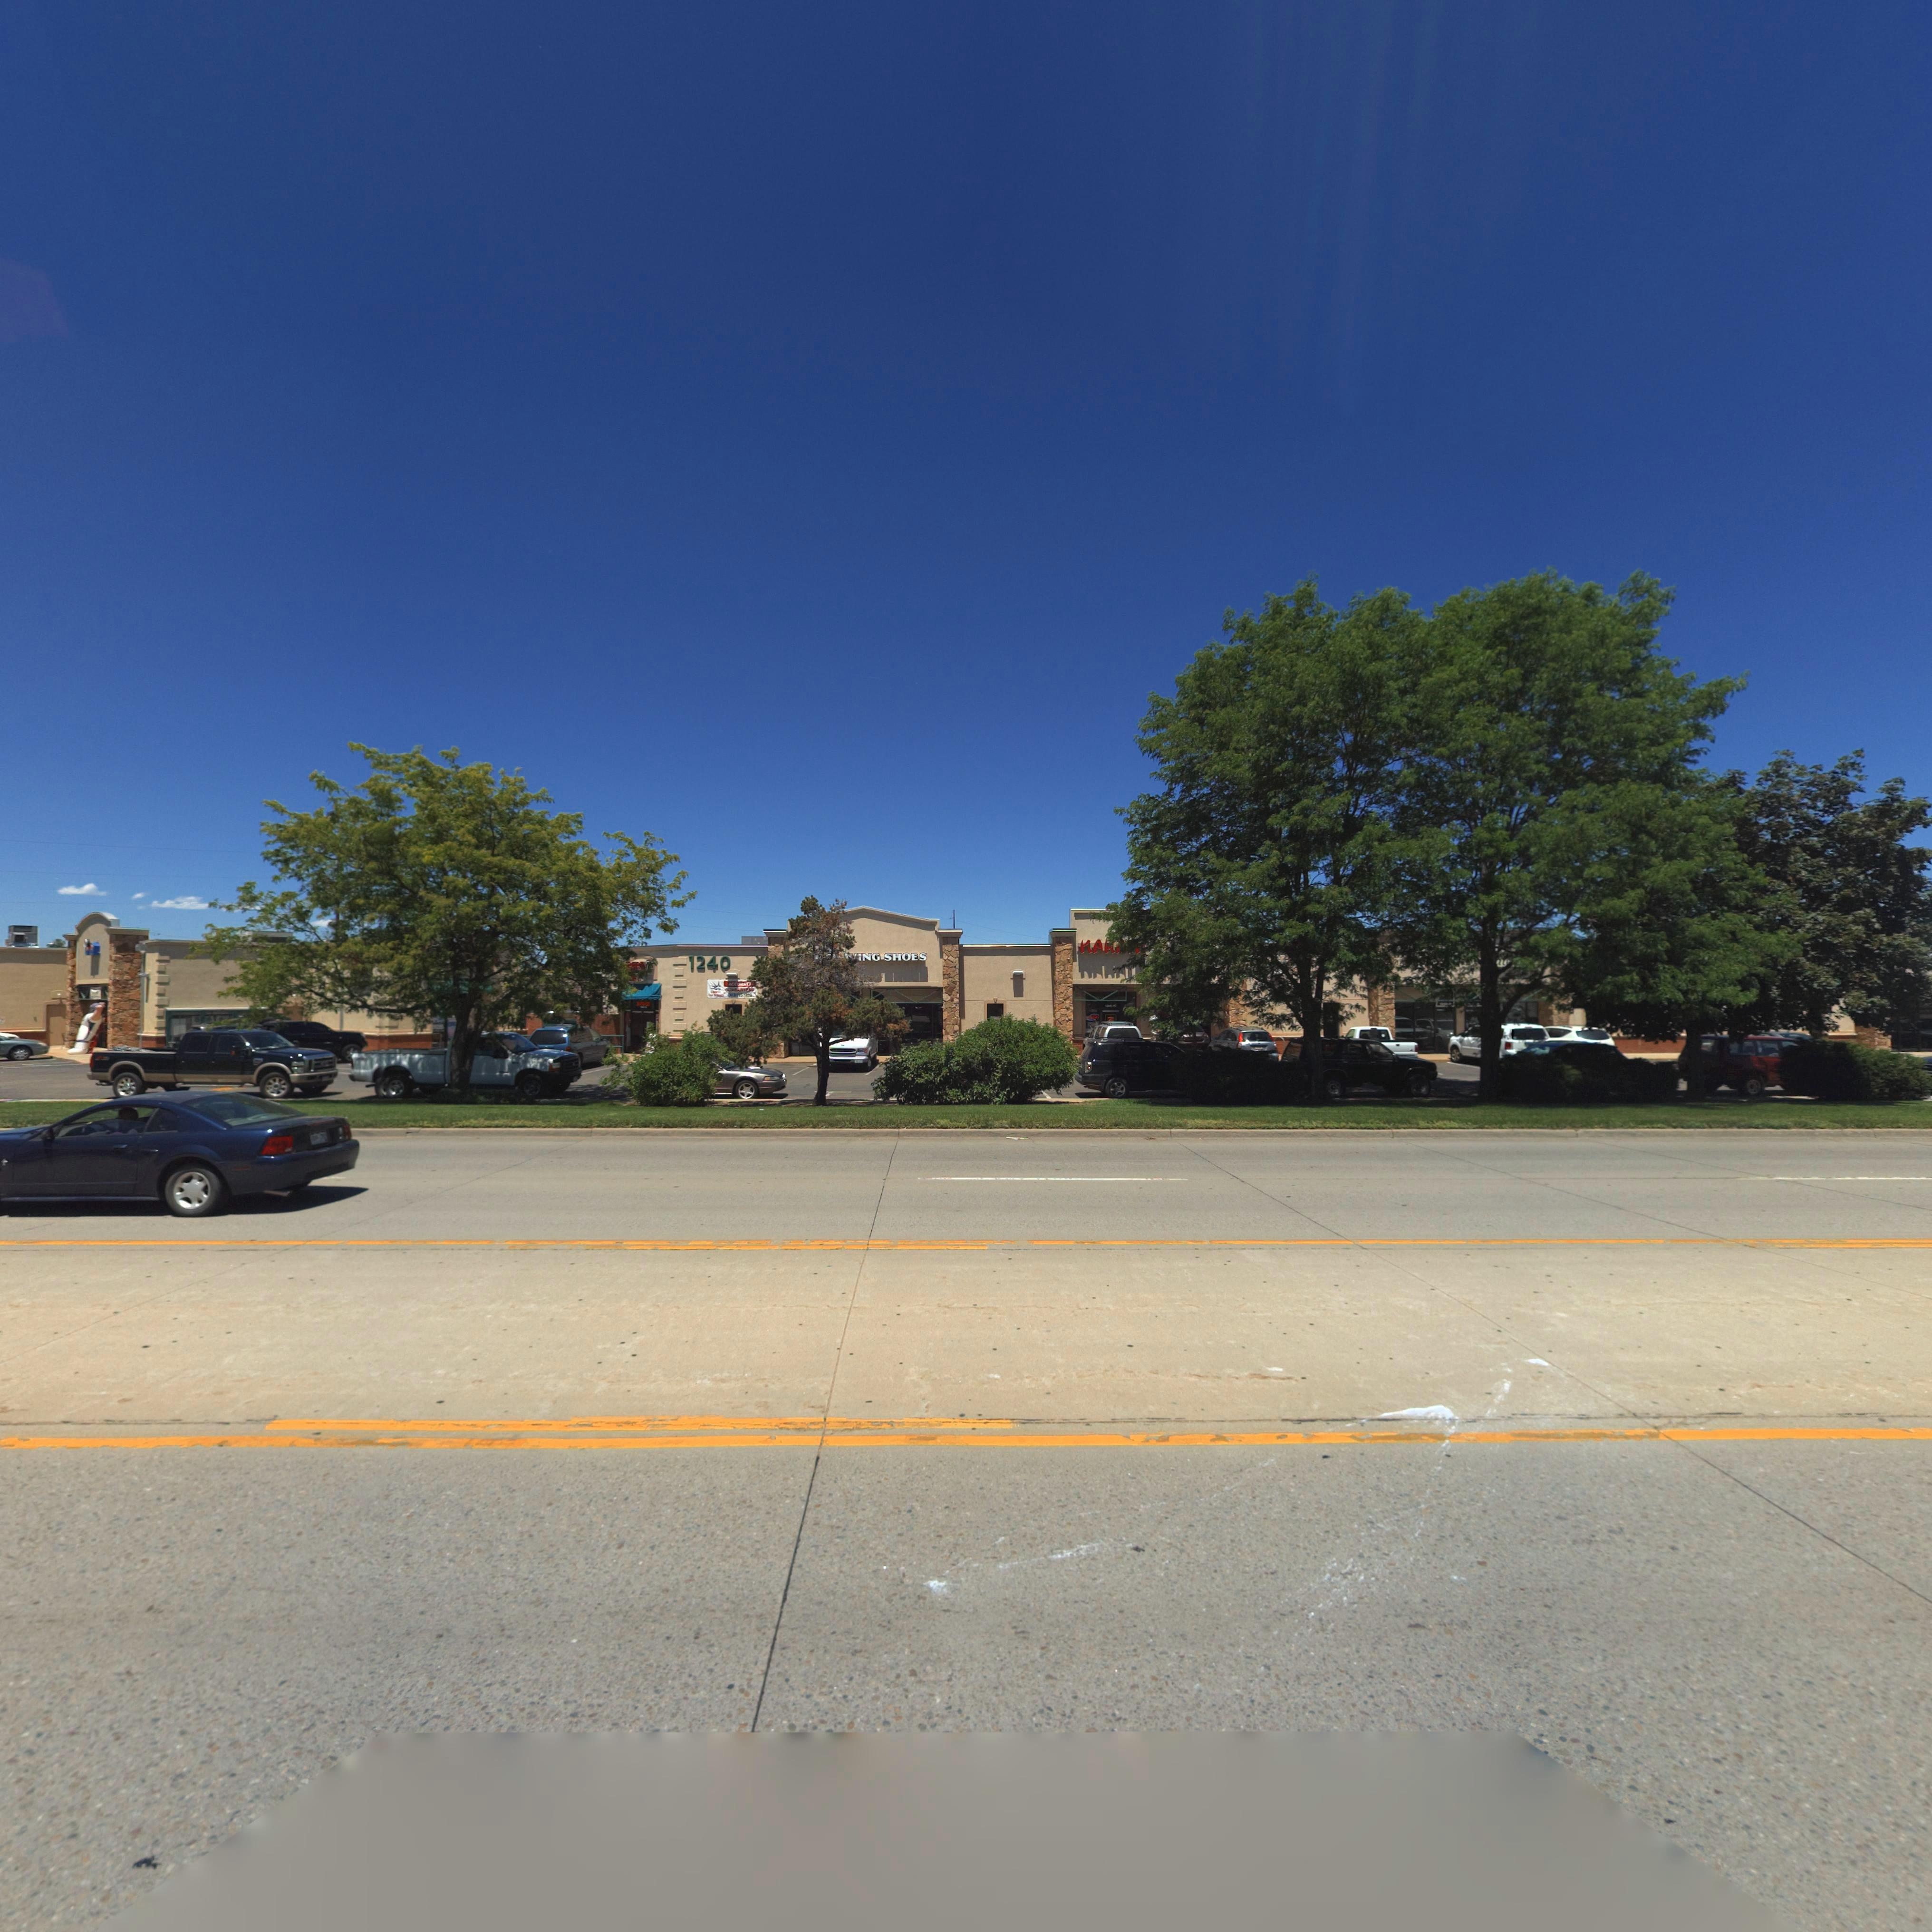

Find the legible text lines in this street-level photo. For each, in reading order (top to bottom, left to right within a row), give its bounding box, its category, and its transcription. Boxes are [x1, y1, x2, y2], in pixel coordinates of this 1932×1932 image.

[687, 954, 731, 970] StreetNumber: 1240
[845, 951, 928, 962] BusinessName: *ING SHOES